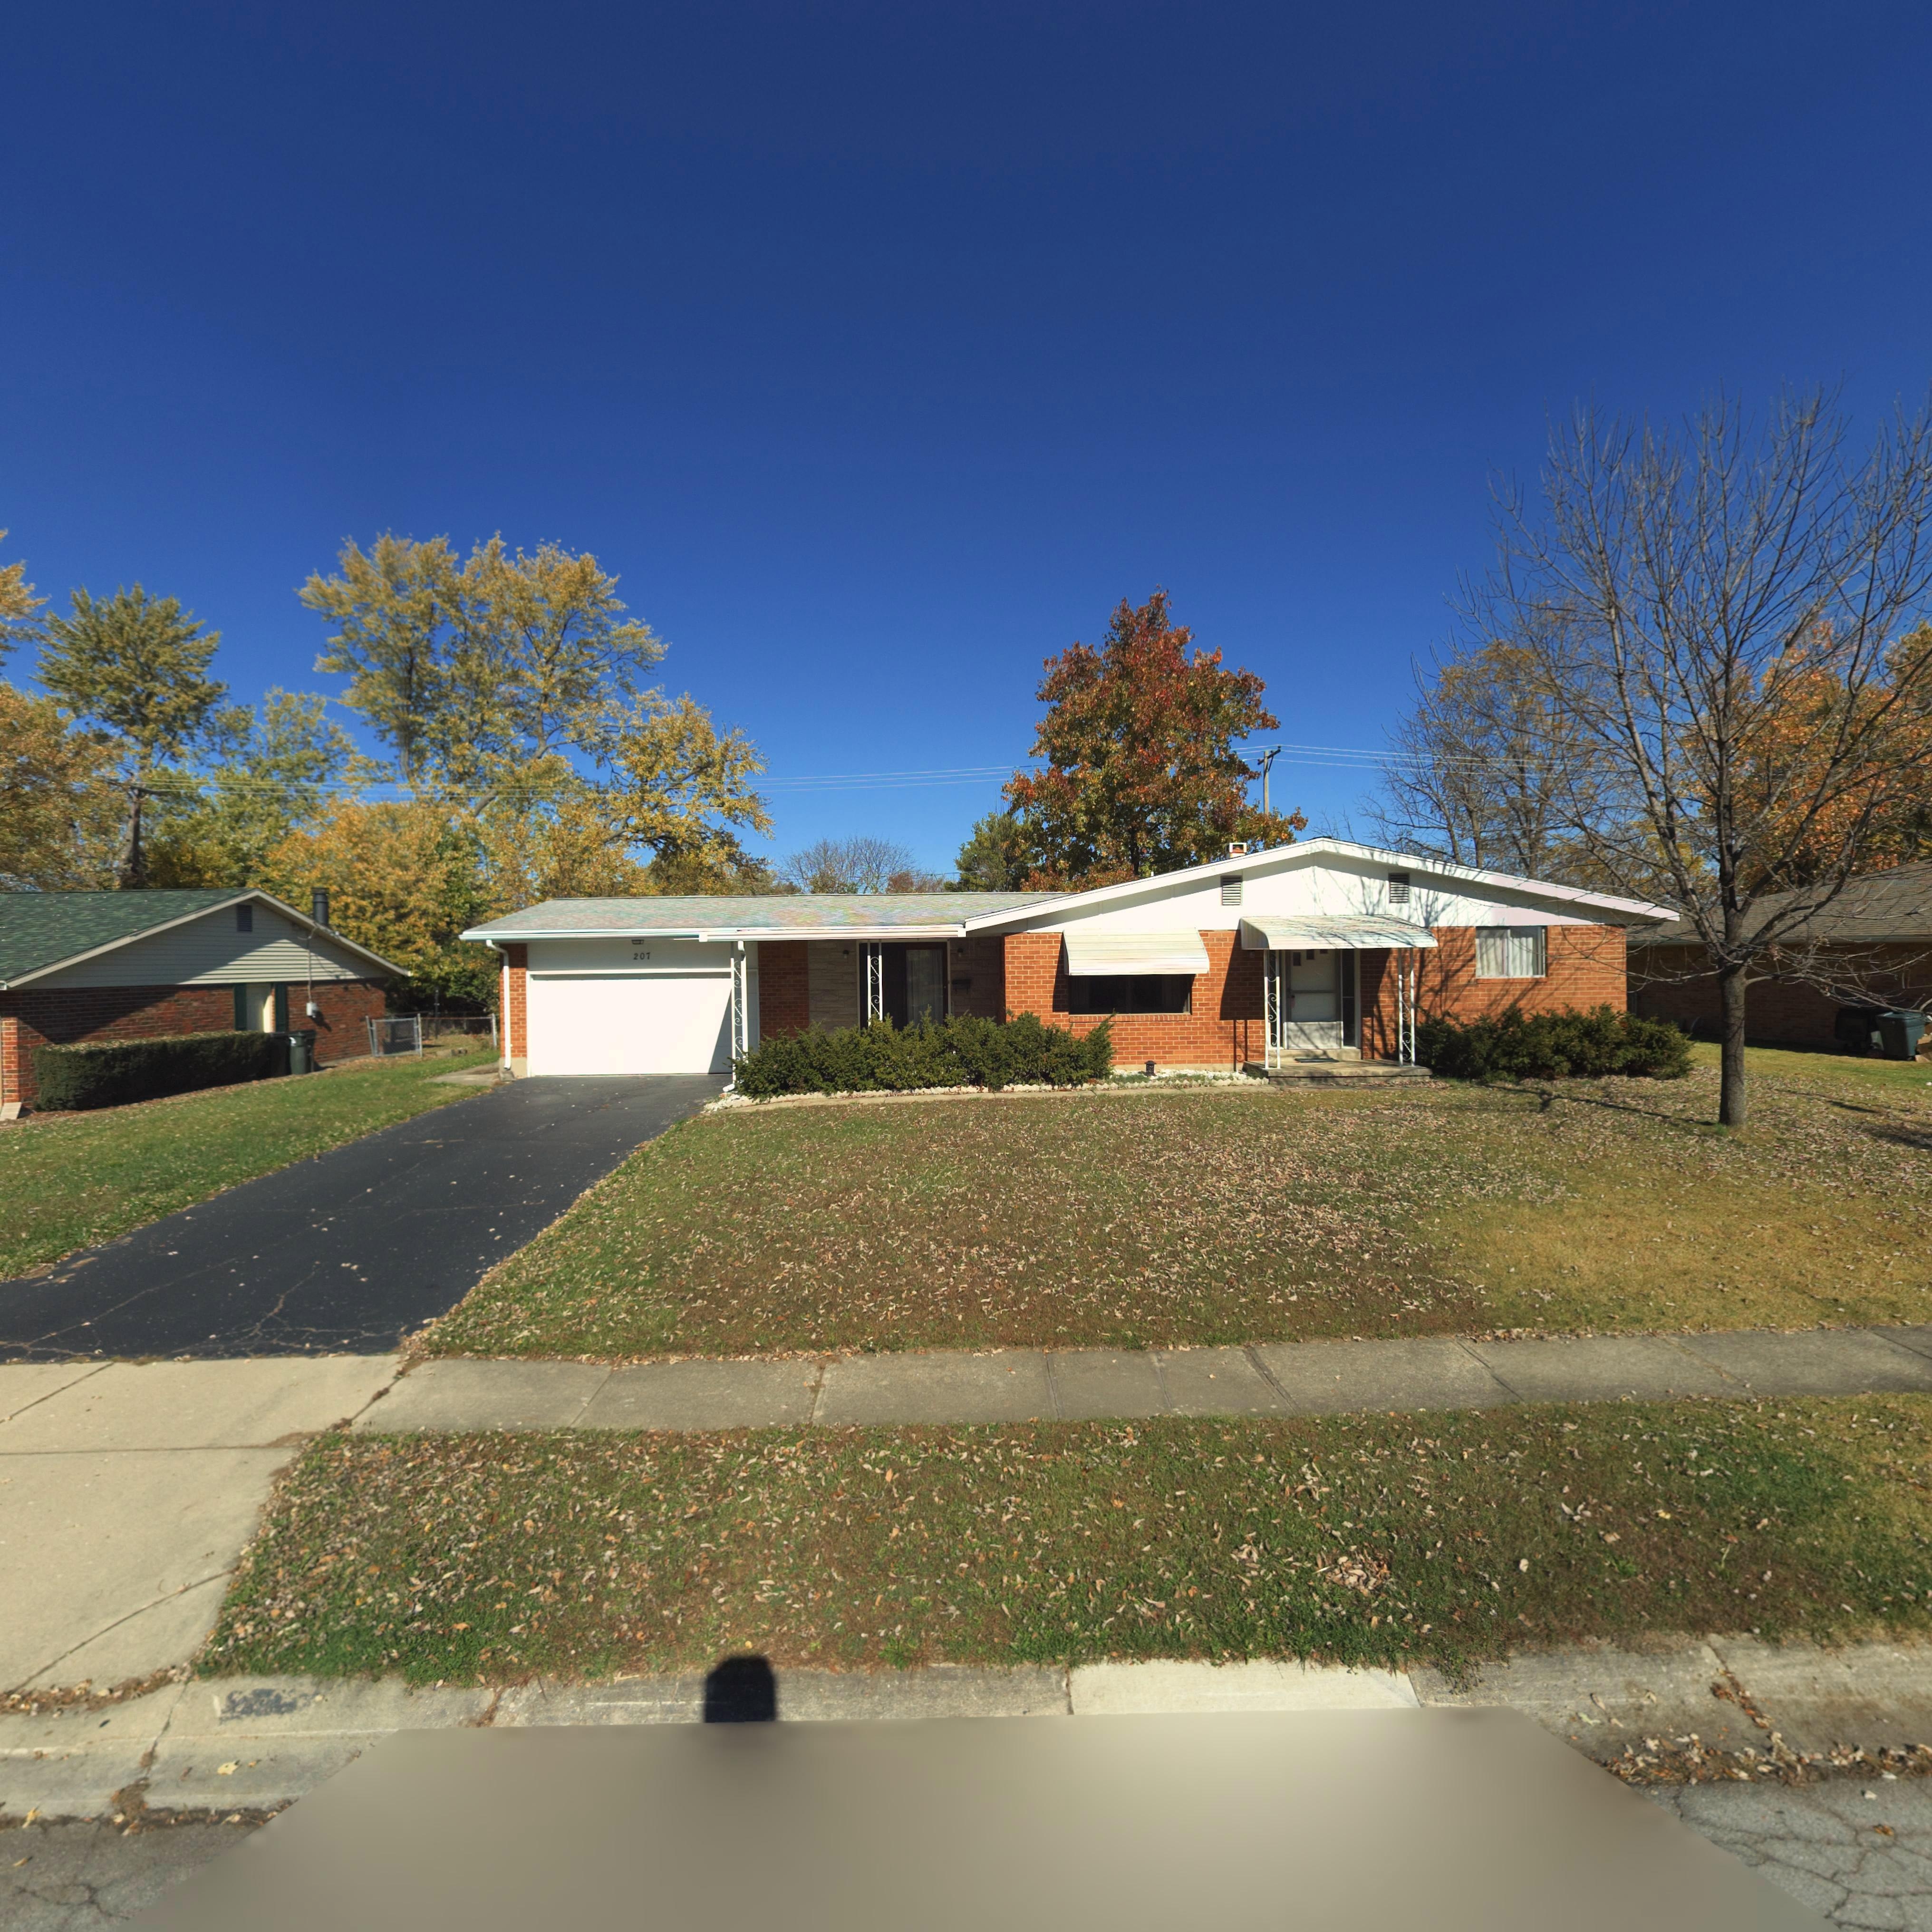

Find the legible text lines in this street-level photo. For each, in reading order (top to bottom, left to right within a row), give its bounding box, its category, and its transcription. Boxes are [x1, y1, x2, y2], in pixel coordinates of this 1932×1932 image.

[632, 951, 652, 961] StreetNumber: 207